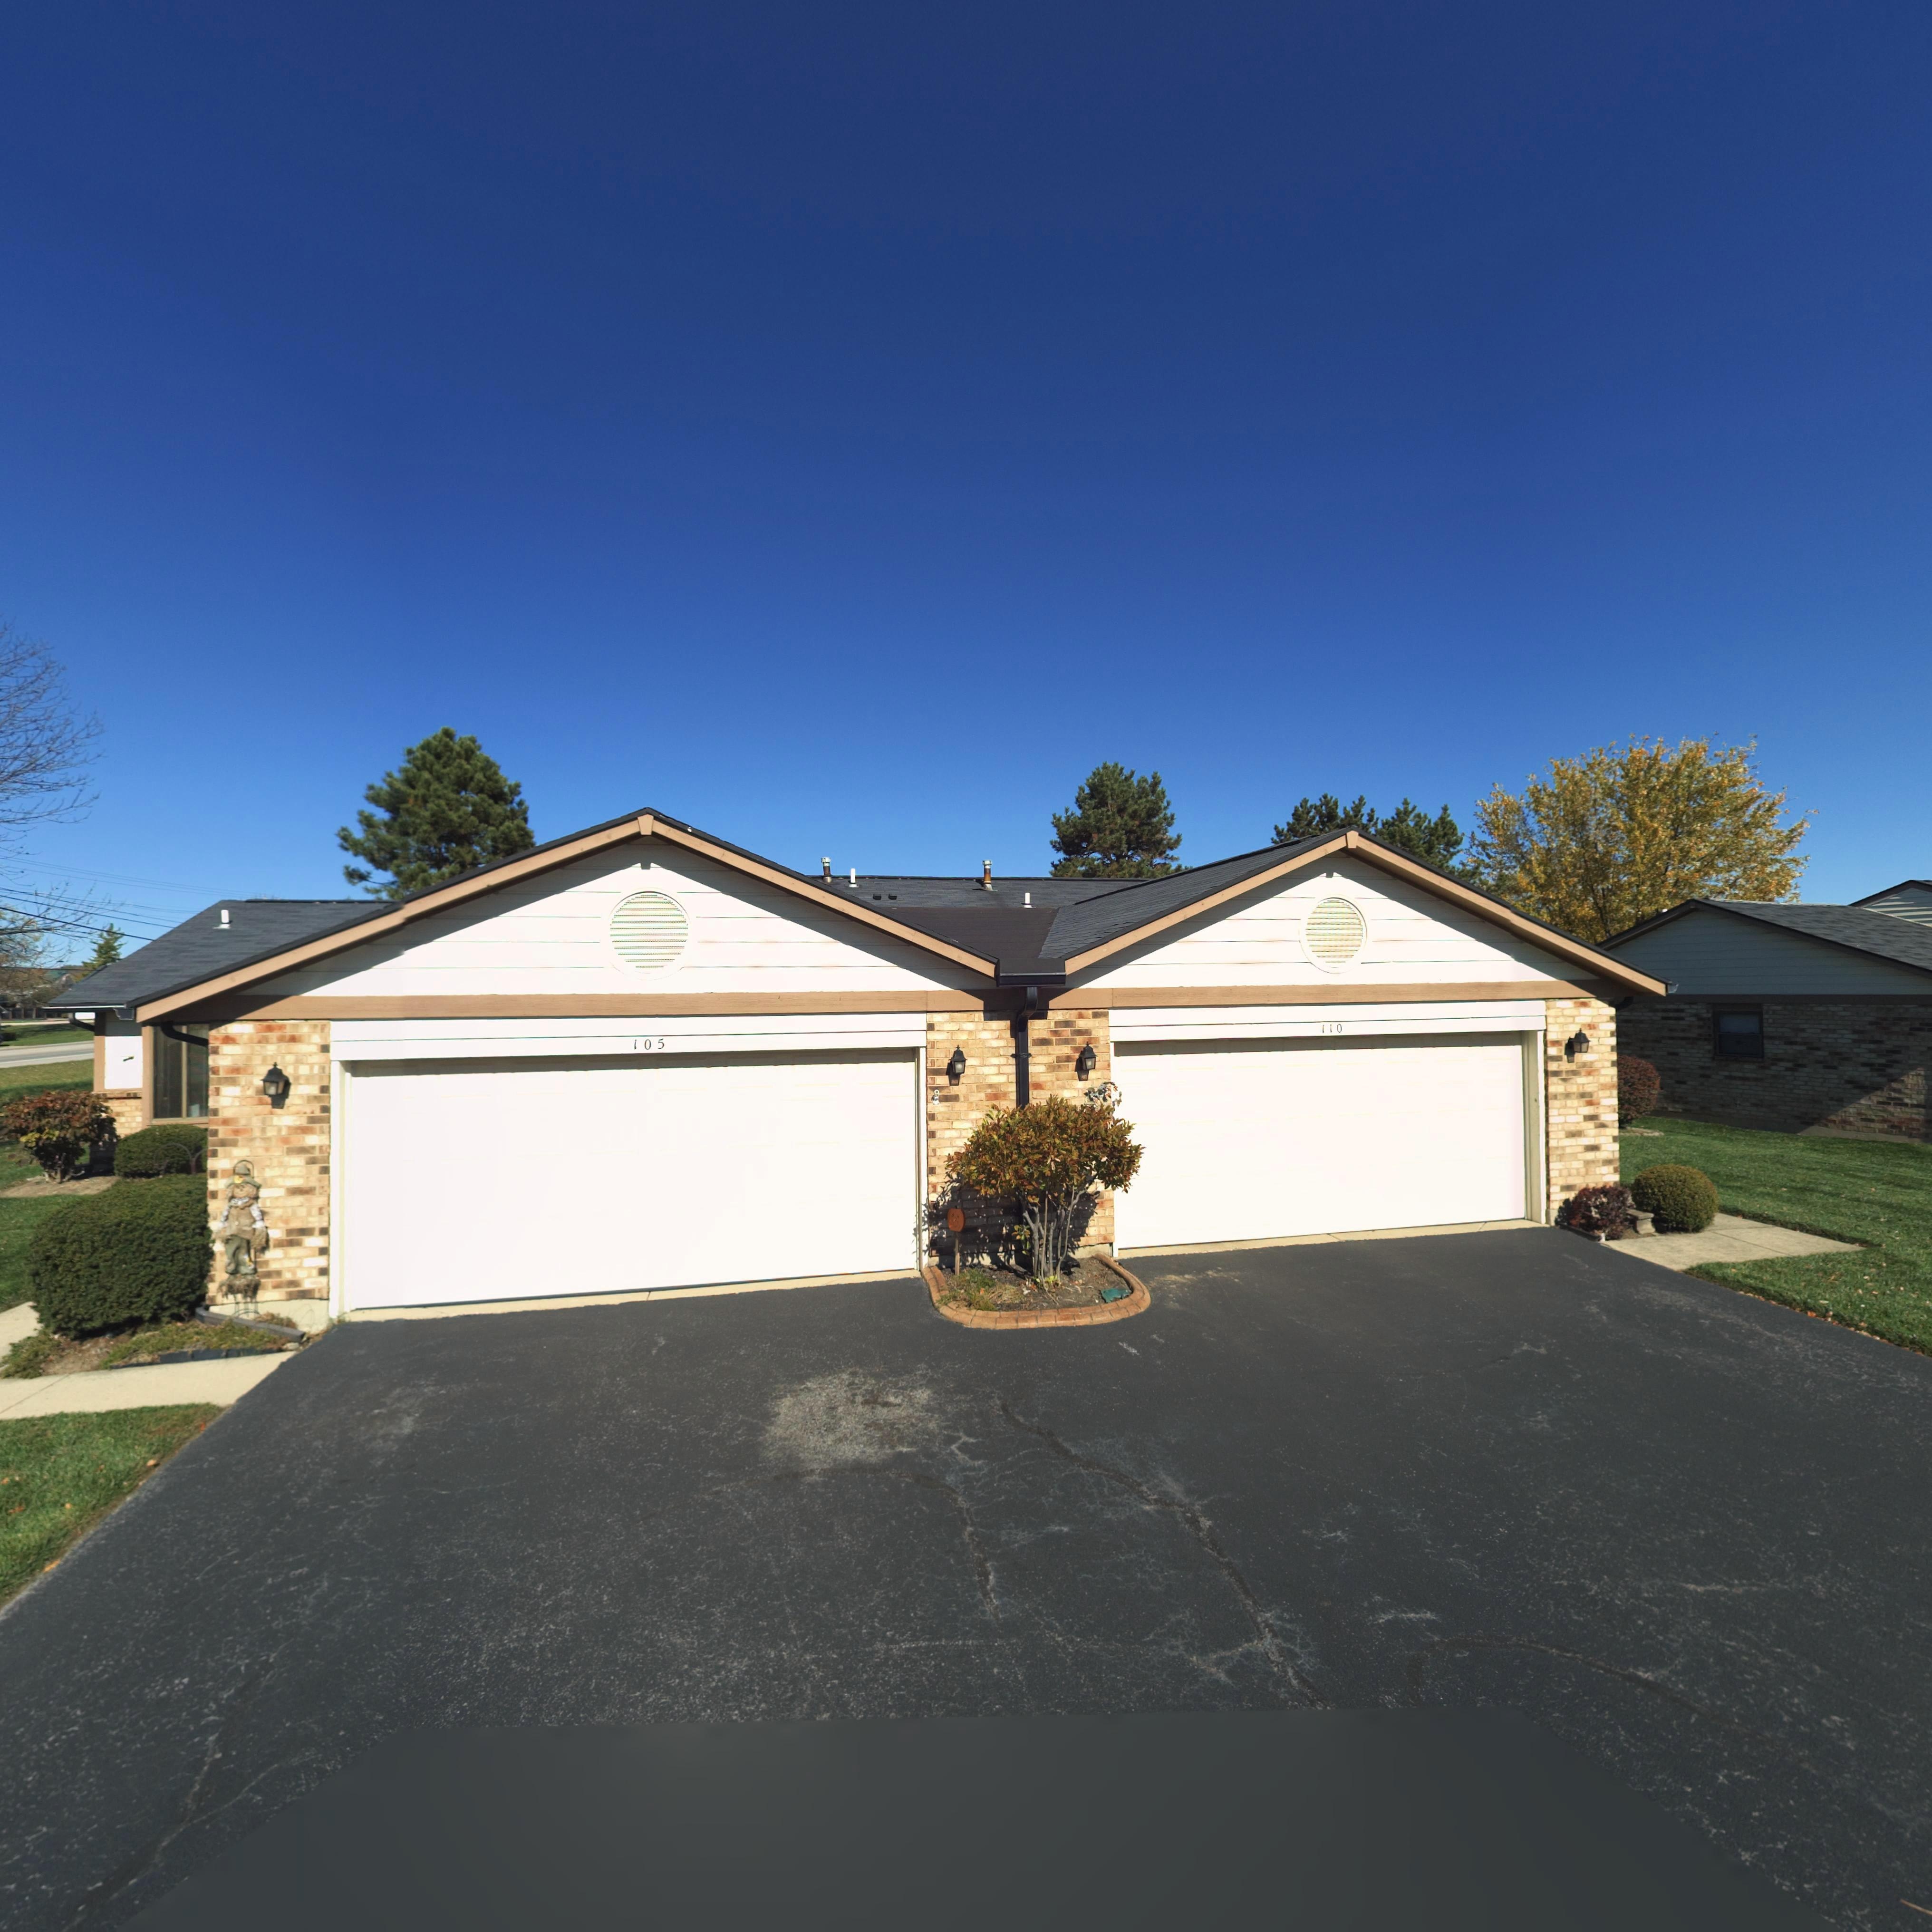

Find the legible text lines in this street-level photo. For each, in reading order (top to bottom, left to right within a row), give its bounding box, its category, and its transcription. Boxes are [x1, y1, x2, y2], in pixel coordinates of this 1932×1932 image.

[1321, 1022, 1344, 1035] StreetNumber: 110
[631, 1035, 666, 1052] StreetNumber: 105